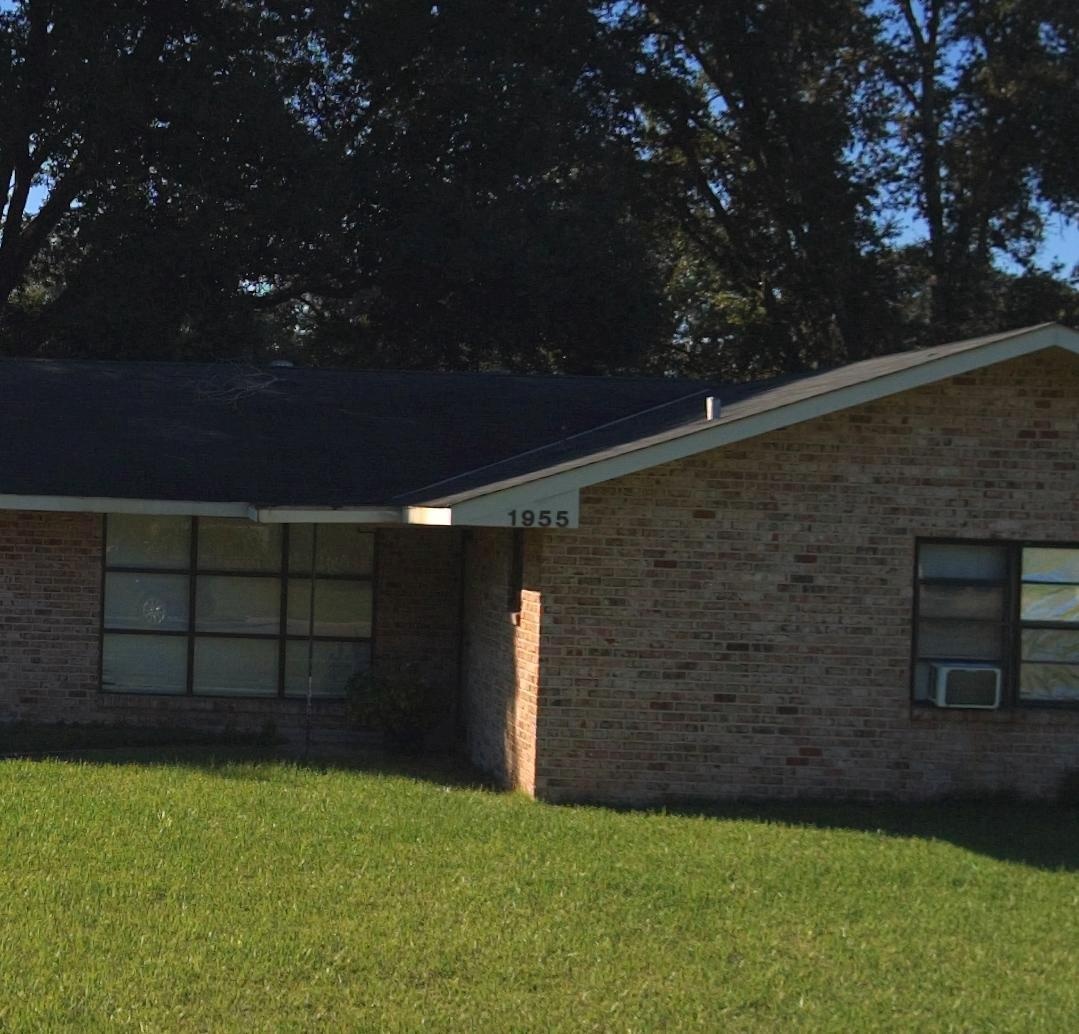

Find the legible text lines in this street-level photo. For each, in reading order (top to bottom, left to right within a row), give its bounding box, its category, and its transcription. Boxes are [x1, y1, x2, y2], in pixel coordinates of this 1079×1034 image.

[505, 507, 571, 530] StreetNumber: 1955